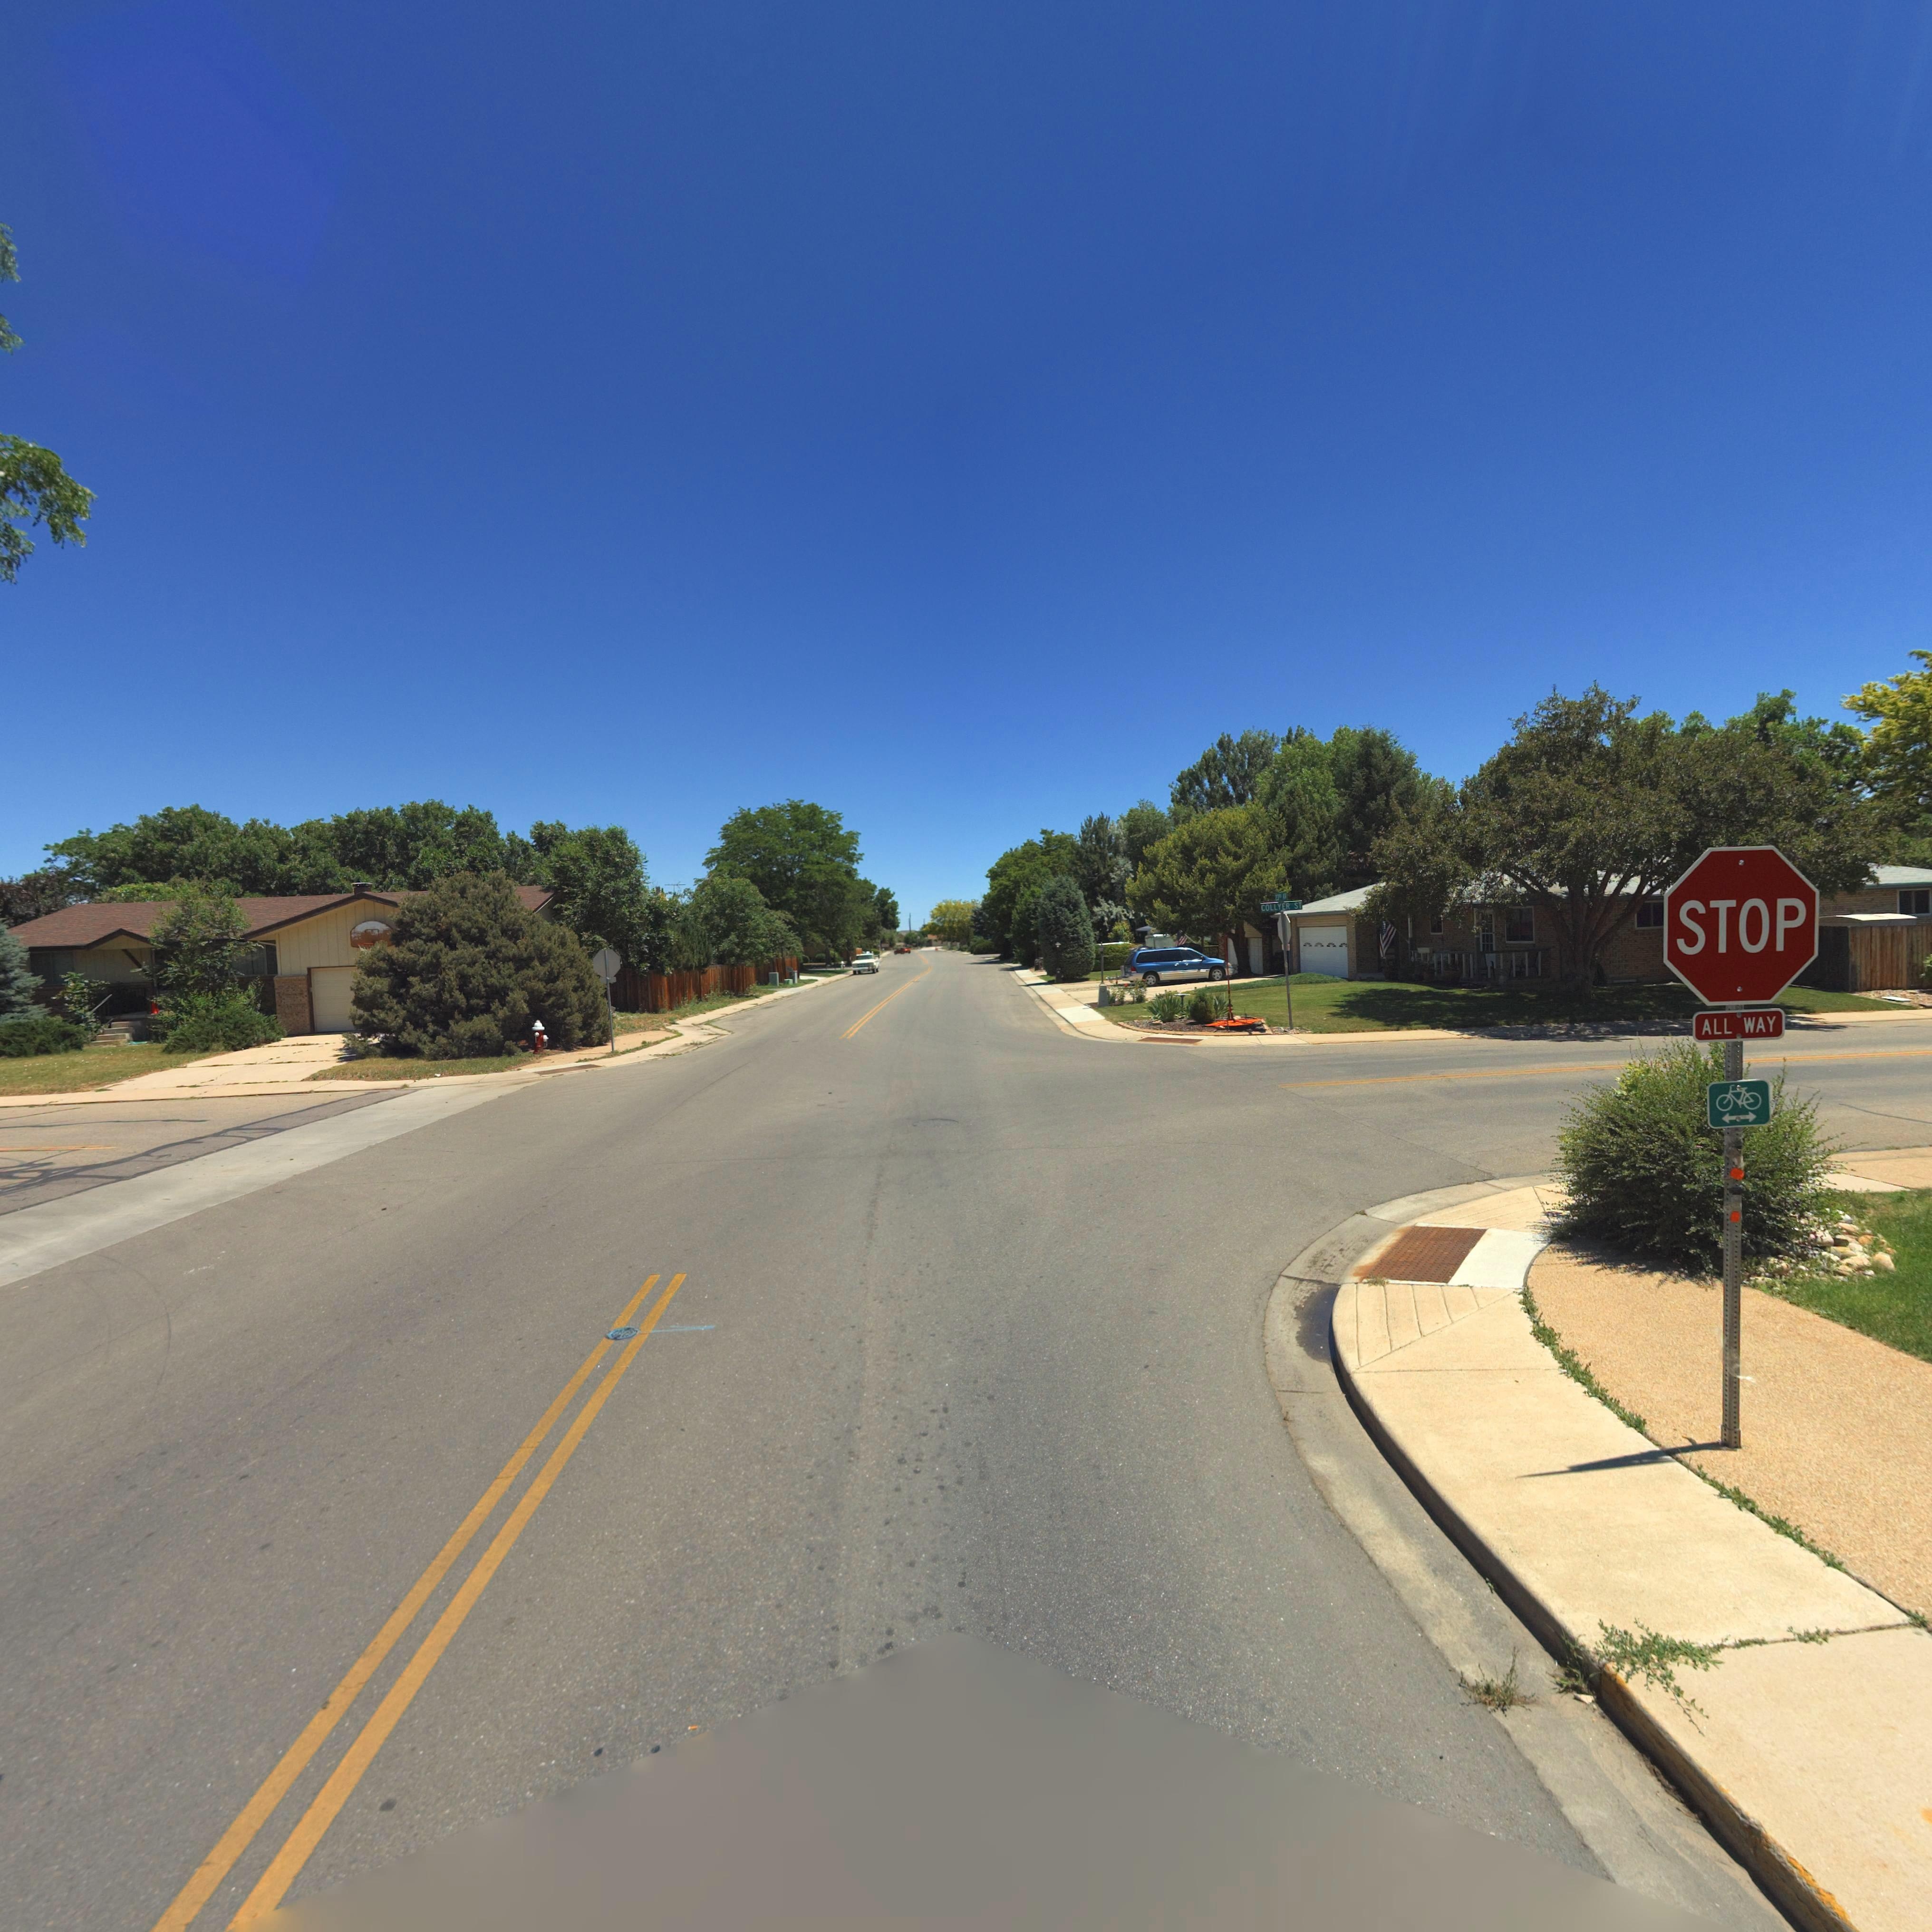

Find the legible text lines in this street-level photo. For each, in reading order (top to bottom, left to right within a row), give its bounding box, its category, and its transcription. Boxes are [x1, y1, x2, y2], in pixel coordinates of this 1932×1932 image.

[1275, 892, 1287, 901] StreetName: 23RD AV
[1261, 901, 1302, 911] StreetName: COLLYER ST